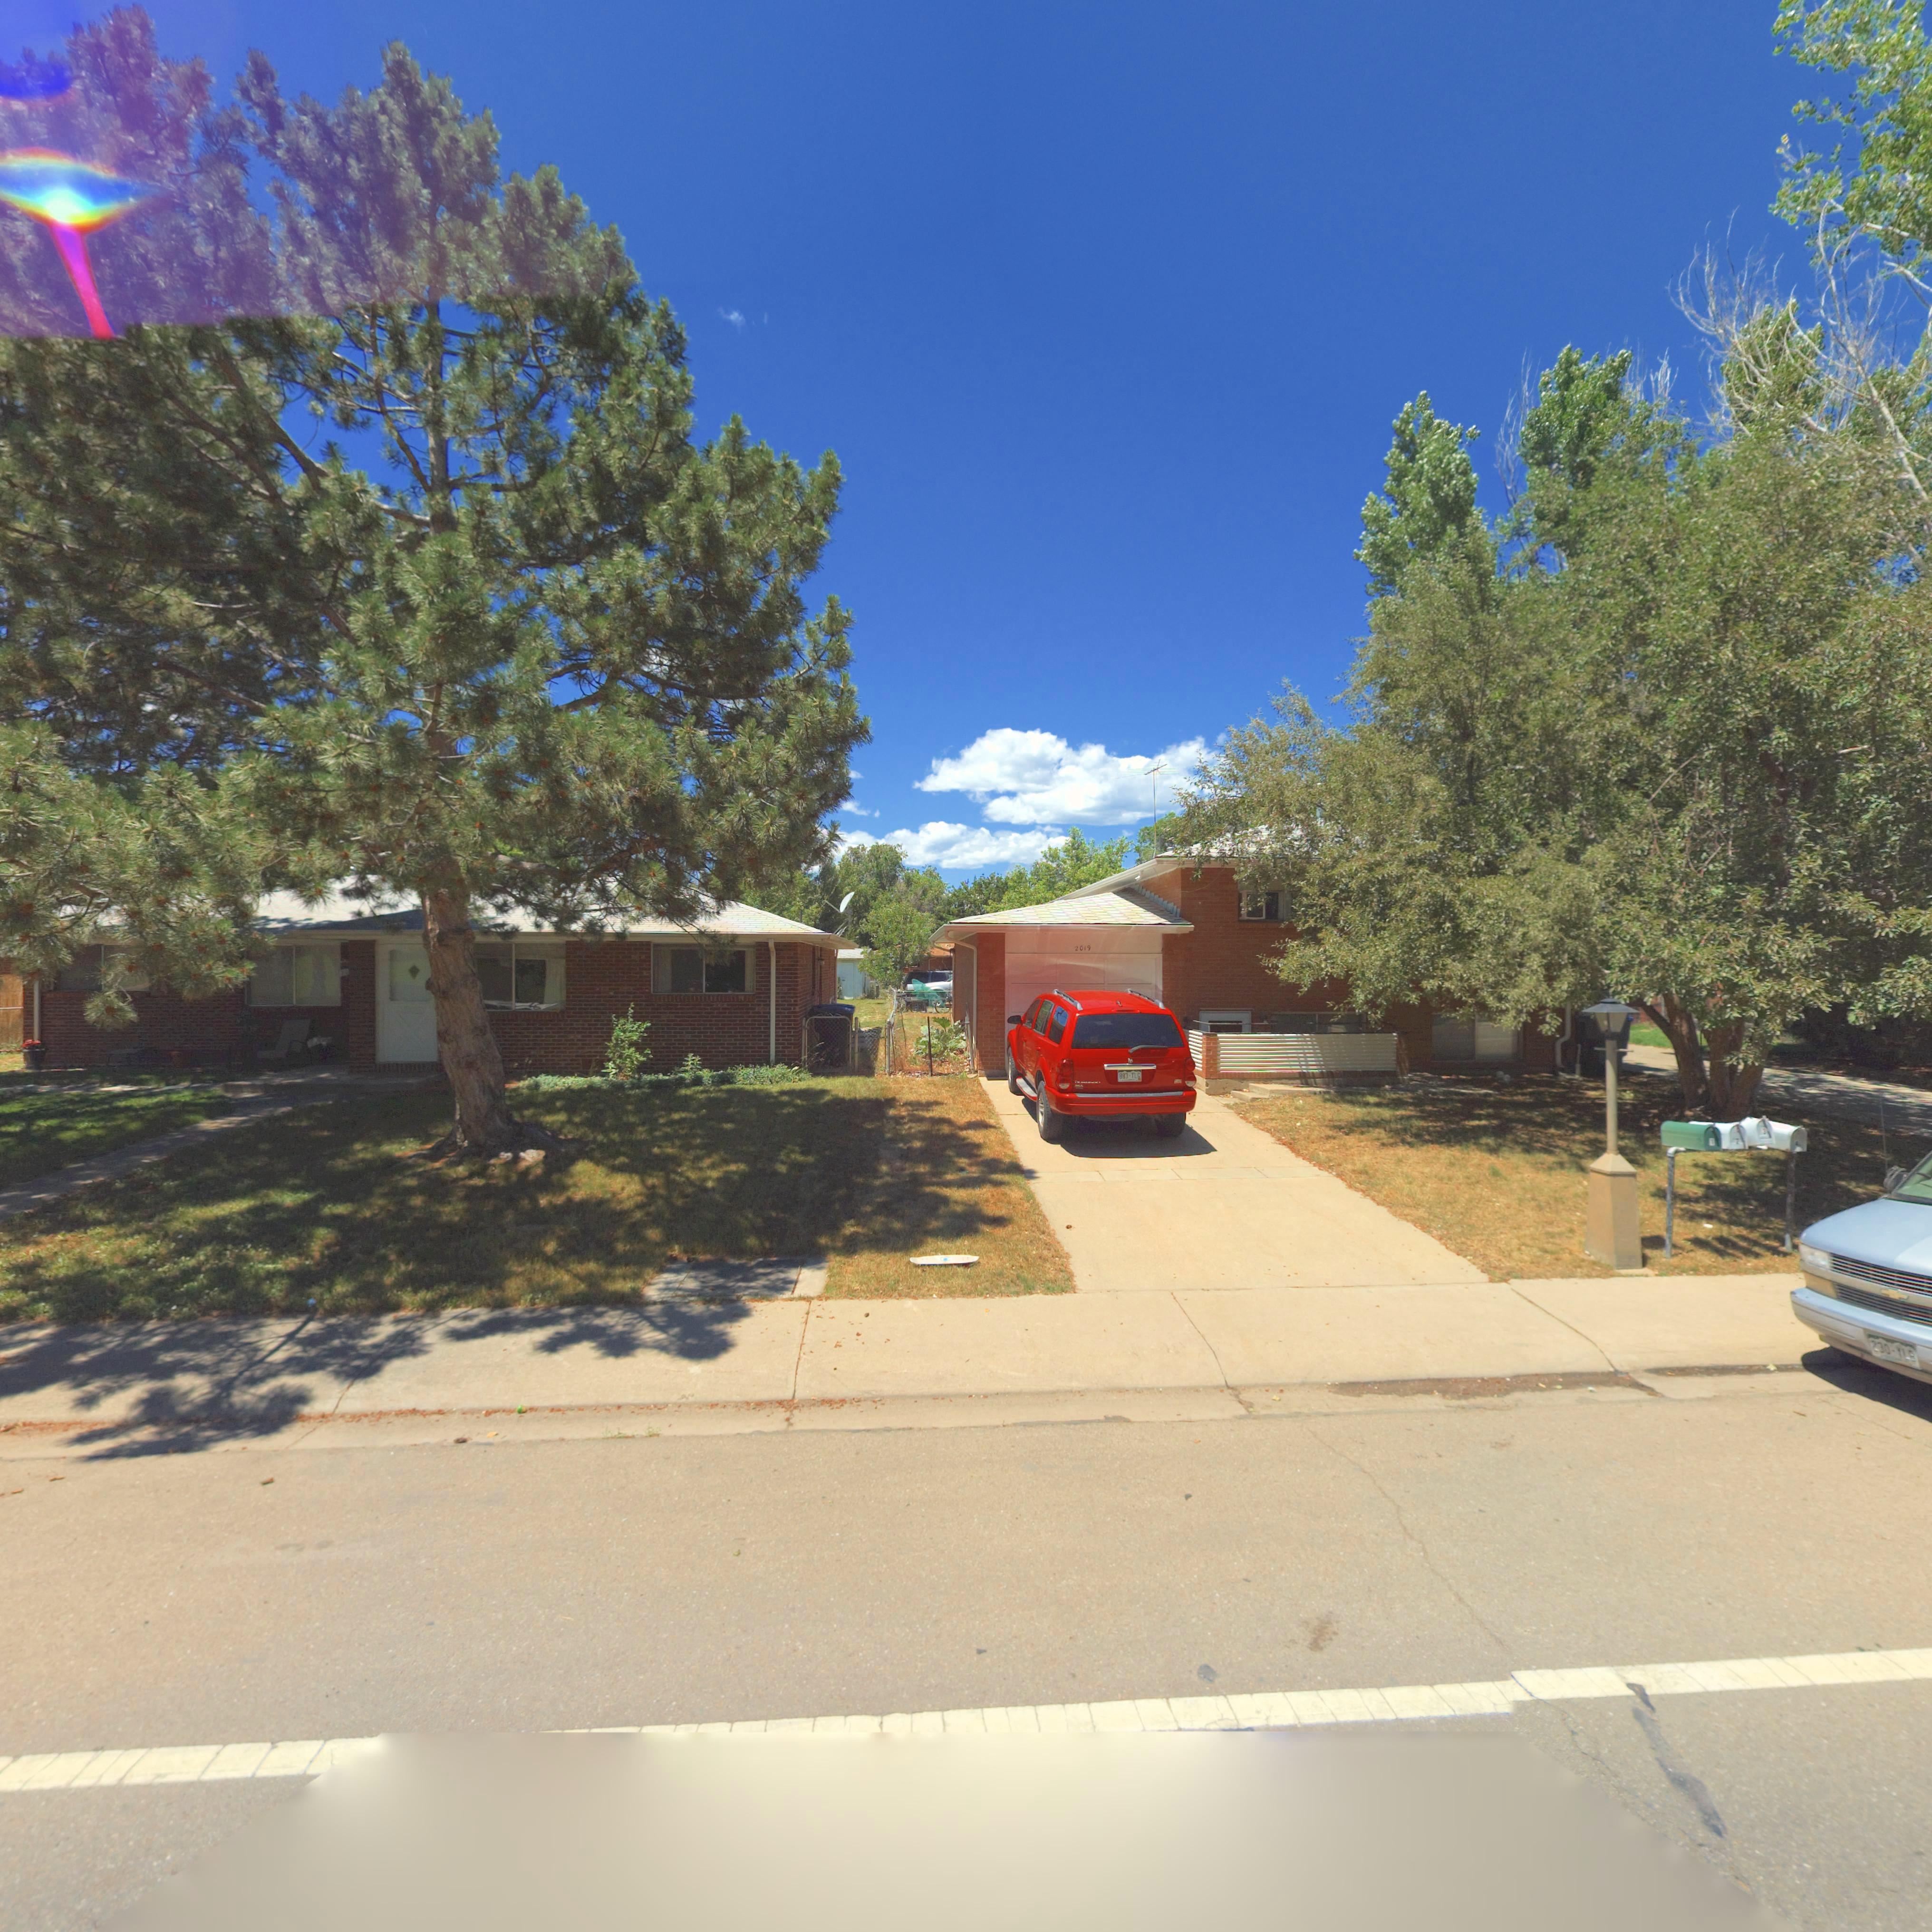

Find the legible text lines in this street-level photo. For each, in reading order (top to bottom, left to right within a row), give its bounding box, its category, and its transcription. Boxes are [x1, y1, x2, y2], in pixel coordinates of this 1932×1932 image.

[1074, 944, 1091, 952] StreetNumber: 2019
[1762, 1128, 1766, 1135] StreetNumber: 3
[1734, 1137, 1739, 1145] StreetNumber: 7